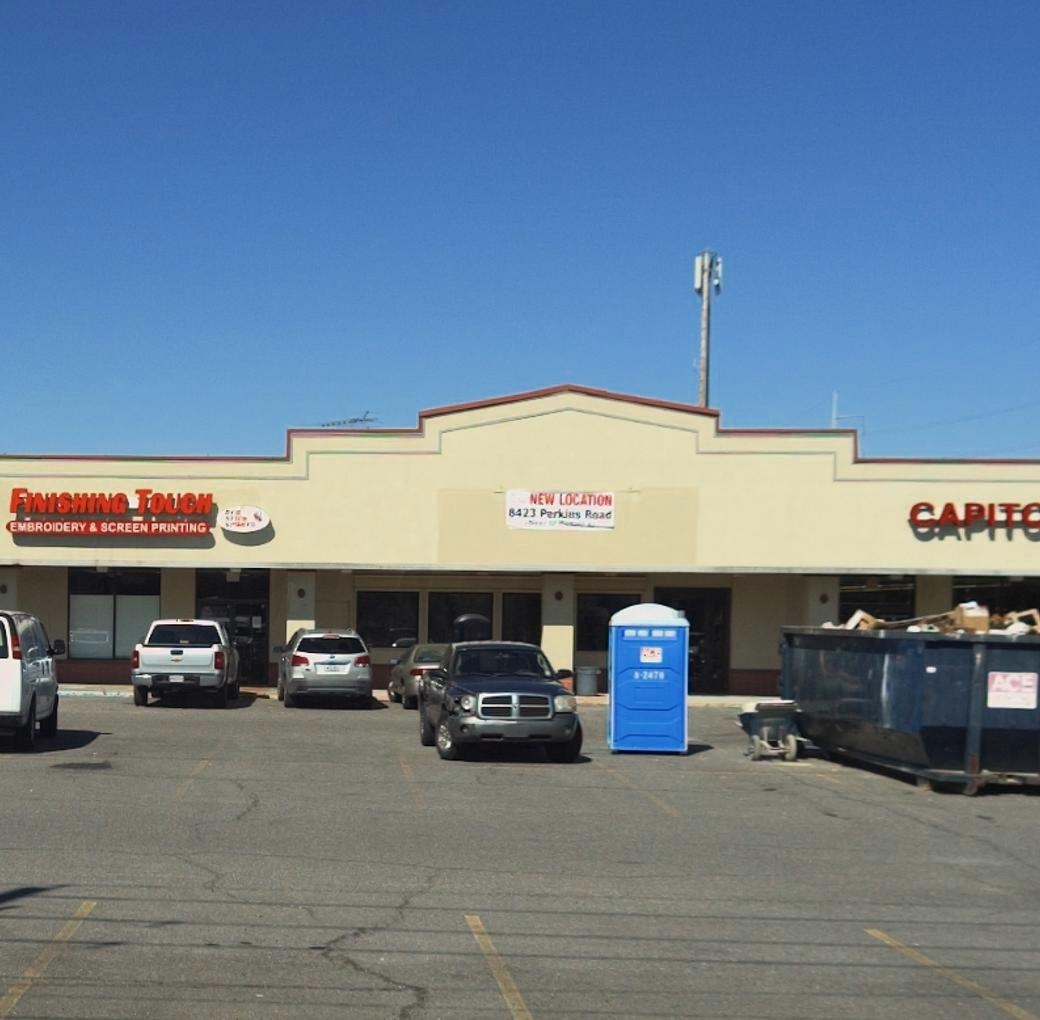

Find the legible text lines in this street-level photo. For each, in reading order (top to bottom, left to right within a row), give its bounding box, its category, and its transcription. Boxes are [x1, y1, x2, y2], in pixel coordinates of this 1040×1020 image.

[8, 486, 215, 515] BusinessName: FINISHING TOUCH
[529, 491, 614, 508] None: NEW LOCATION
[508, 506, 614, 521] StreetNumber: 8423 Perkins Road
[909, 501, 1023, 528] BusinessName: CAPIT
[9, 520, 208, 534] BusinessName: EMBROIDERY & SCREEN PRINTING
[641, 670, 666, 681] None: 247*